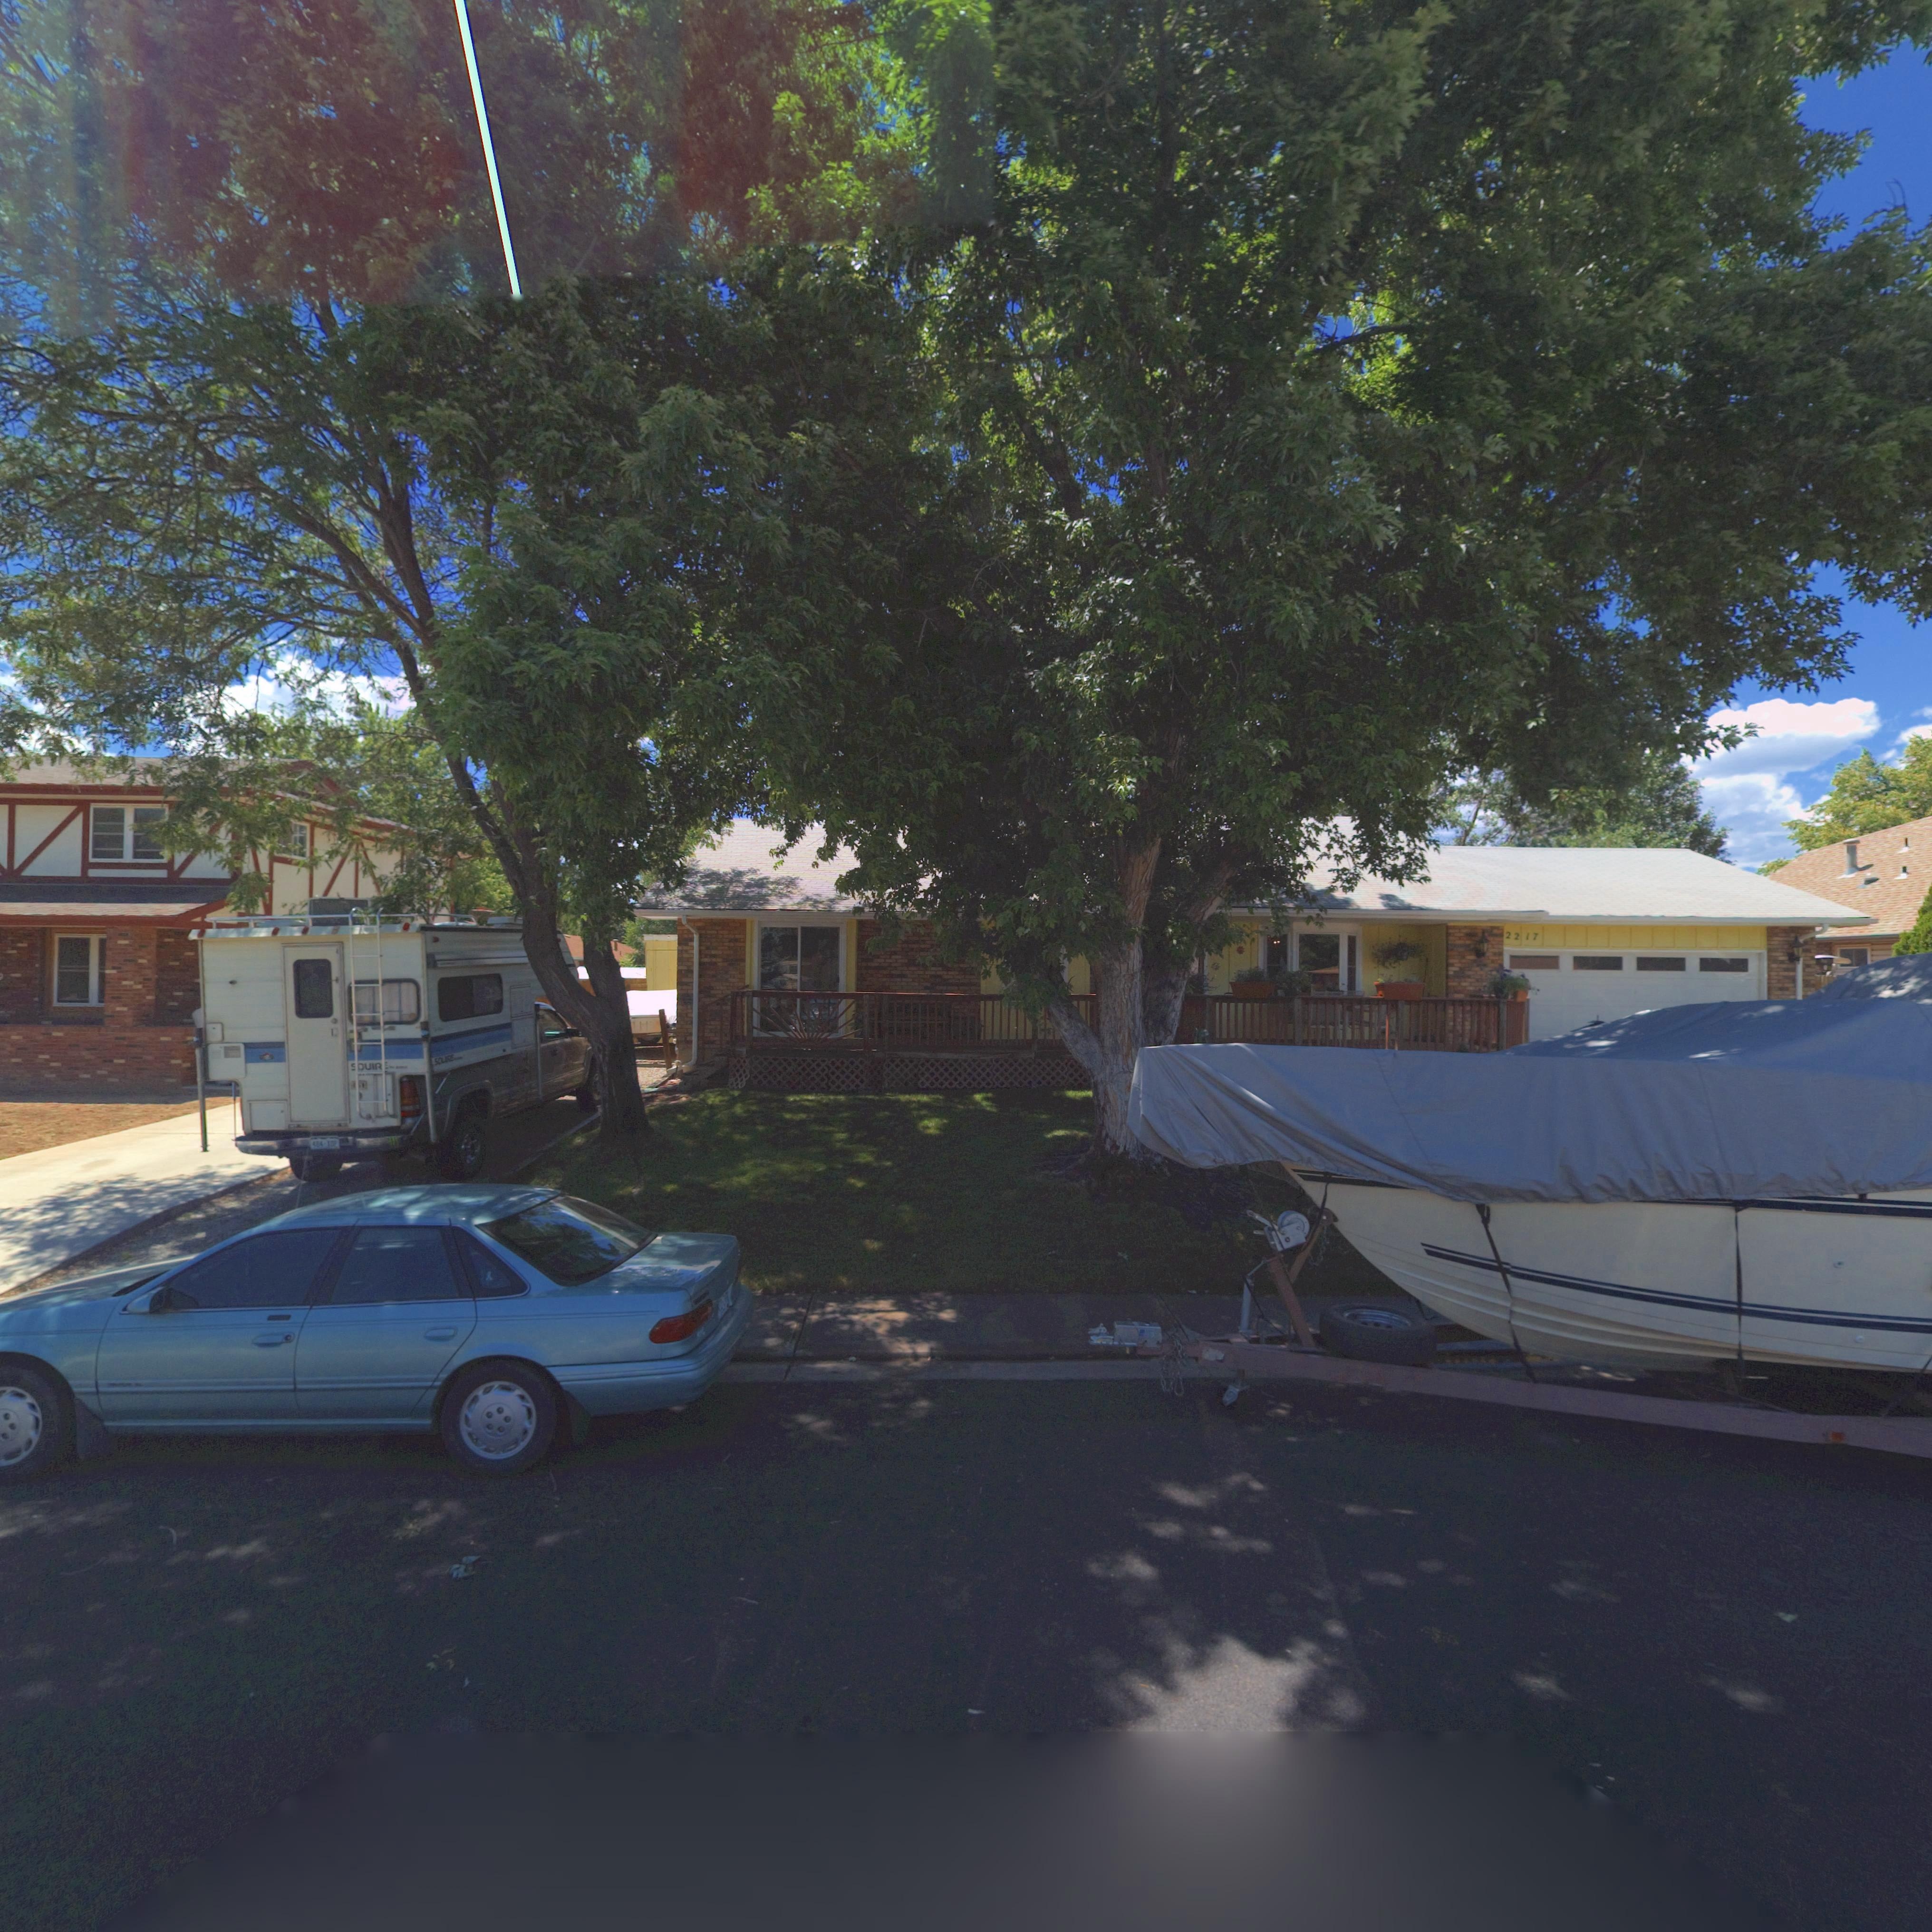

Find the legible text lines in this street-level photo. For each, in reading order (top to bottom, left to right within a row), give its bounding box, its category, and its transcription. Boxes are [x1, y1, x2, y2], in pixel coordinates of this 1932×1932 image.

[1505, 931, 1539, 940] StreetNumber: 2217